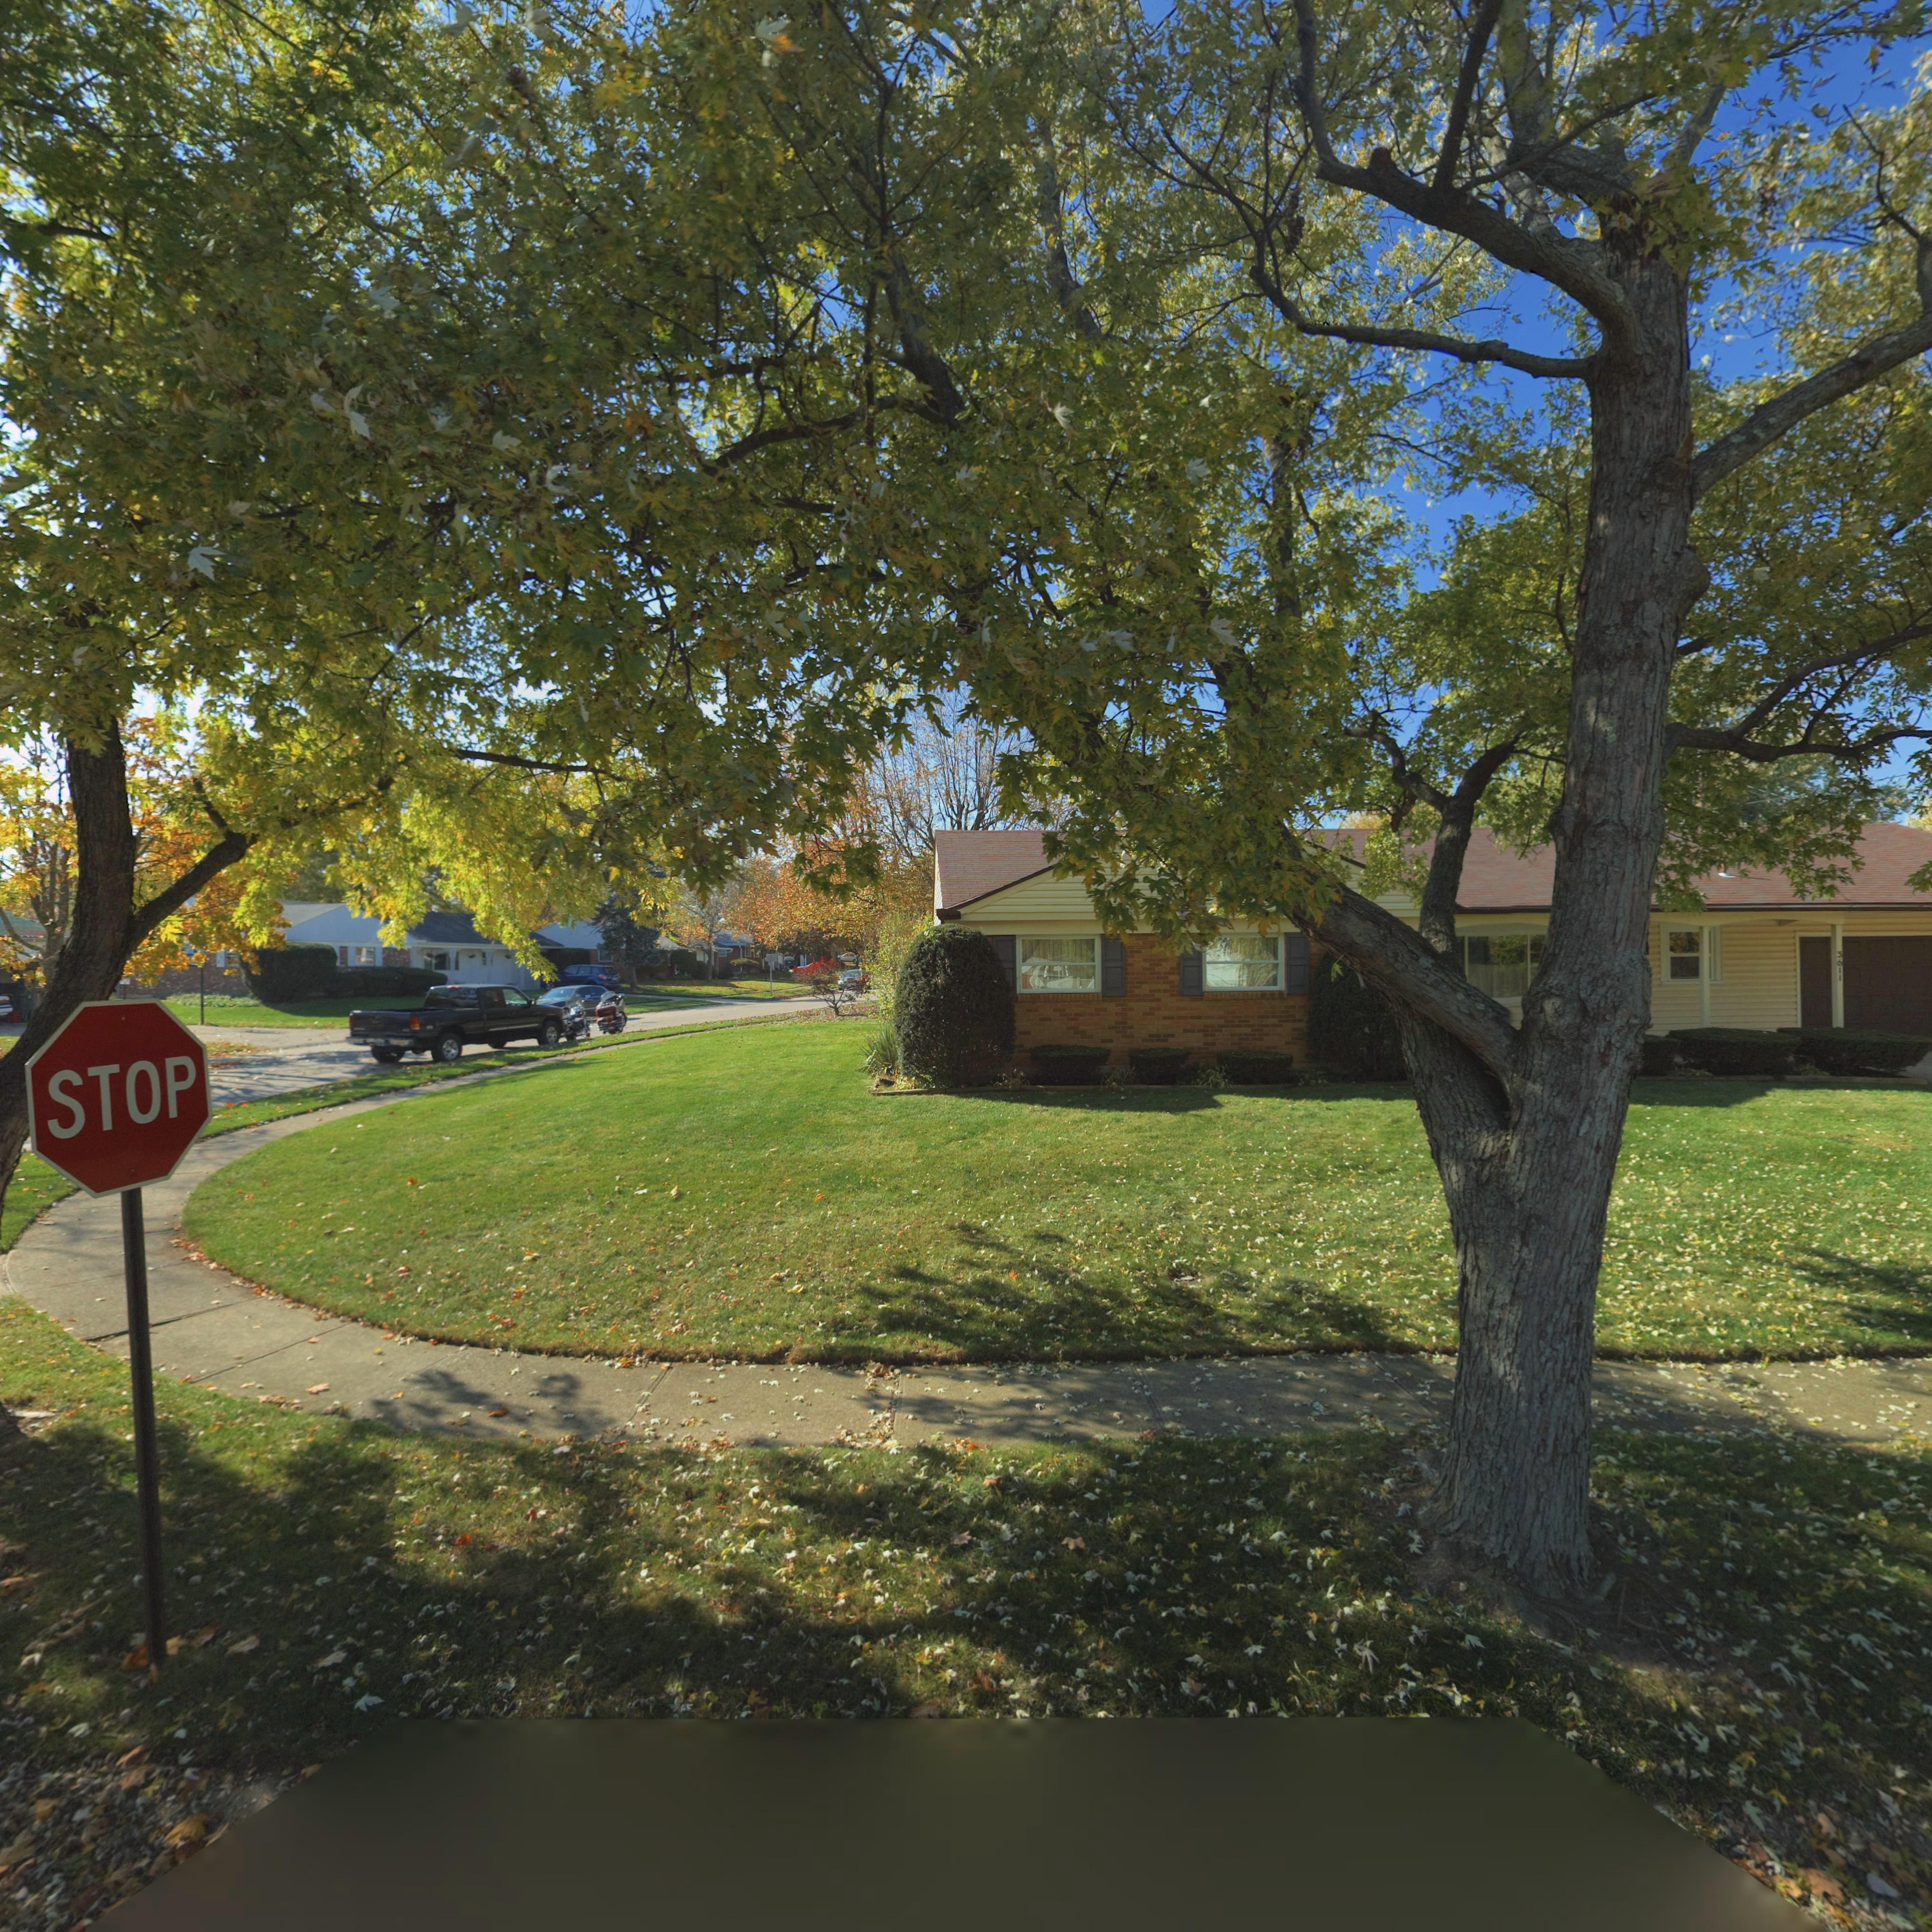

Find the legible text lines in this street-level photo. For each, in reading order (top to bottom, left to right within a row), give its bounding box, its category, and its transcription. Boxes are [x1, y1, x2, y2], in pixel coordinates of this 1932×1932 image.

[1835, 950, 1844, 983] StreetNumber: 3611
[45, 1053, 199, 1141] None: STOP